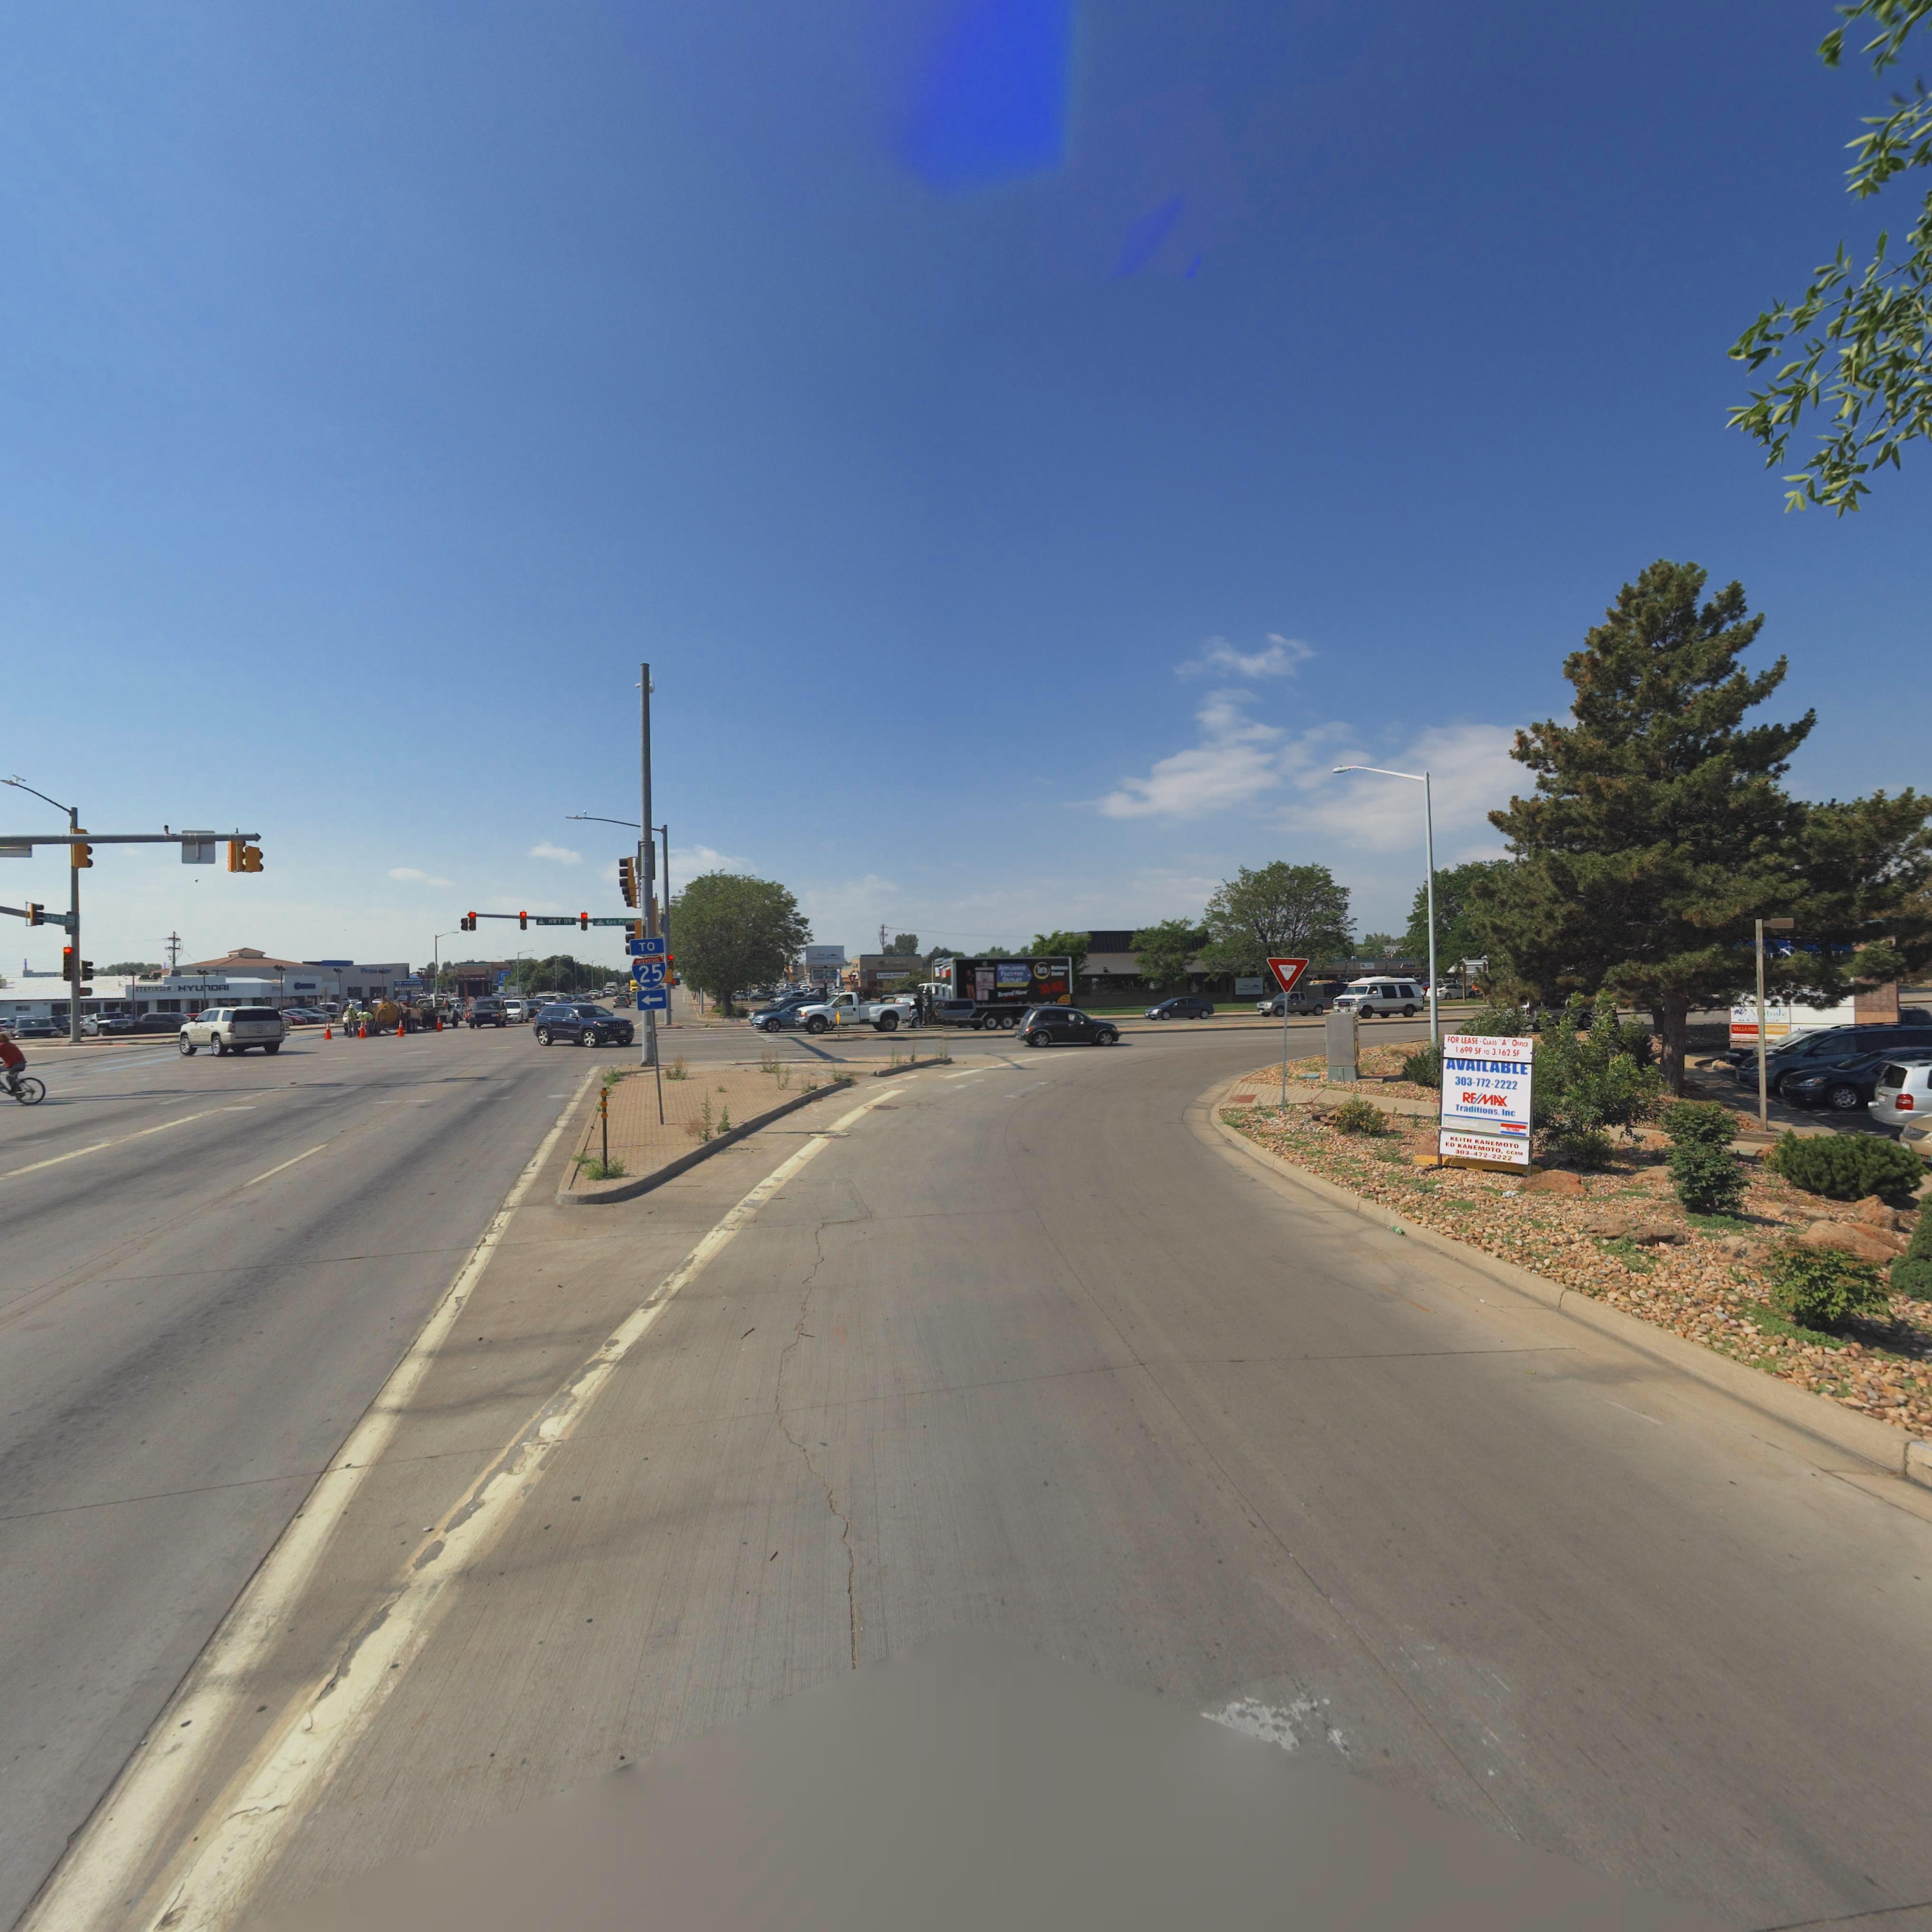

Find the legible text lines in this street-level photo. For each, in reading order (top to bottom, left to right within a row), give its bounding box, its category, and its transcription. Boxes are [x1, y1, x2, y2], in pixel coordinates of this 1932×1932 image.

[46, 914, 66, 923] StreetName: S Main St
[548, 918, 572, 924] StreetName: HWY 119
[606, 919, 625, 925] StreetName: Ken Pr
[817, 953, 825, 956] BusinessName: First
[811, 956, 840, 960] BusinessName: National DENVER
[1400, 963, 1417, 968] BusinessName: Allstate
[360, 967, 392, 974] BusinessName: Fron**er
[135, 984, 229, 992] BusinessName: STEVINSON HYU*DAI
[397, 986, 419, 990] BusinessName: STREVINSON
[403, 981, 421, 985] BusinessName: HYUNDA*
[1243, 984, 1250, 987] BusinessName: First
[1748, 1007, 1787, 1016] BusinessName: A***tude
[1738, 1019, 1780, 1022] BusinessName: MAS**GE
[1732, 1026, 1787, 1033] BusinessName: WELLS FAR** ADVISORS